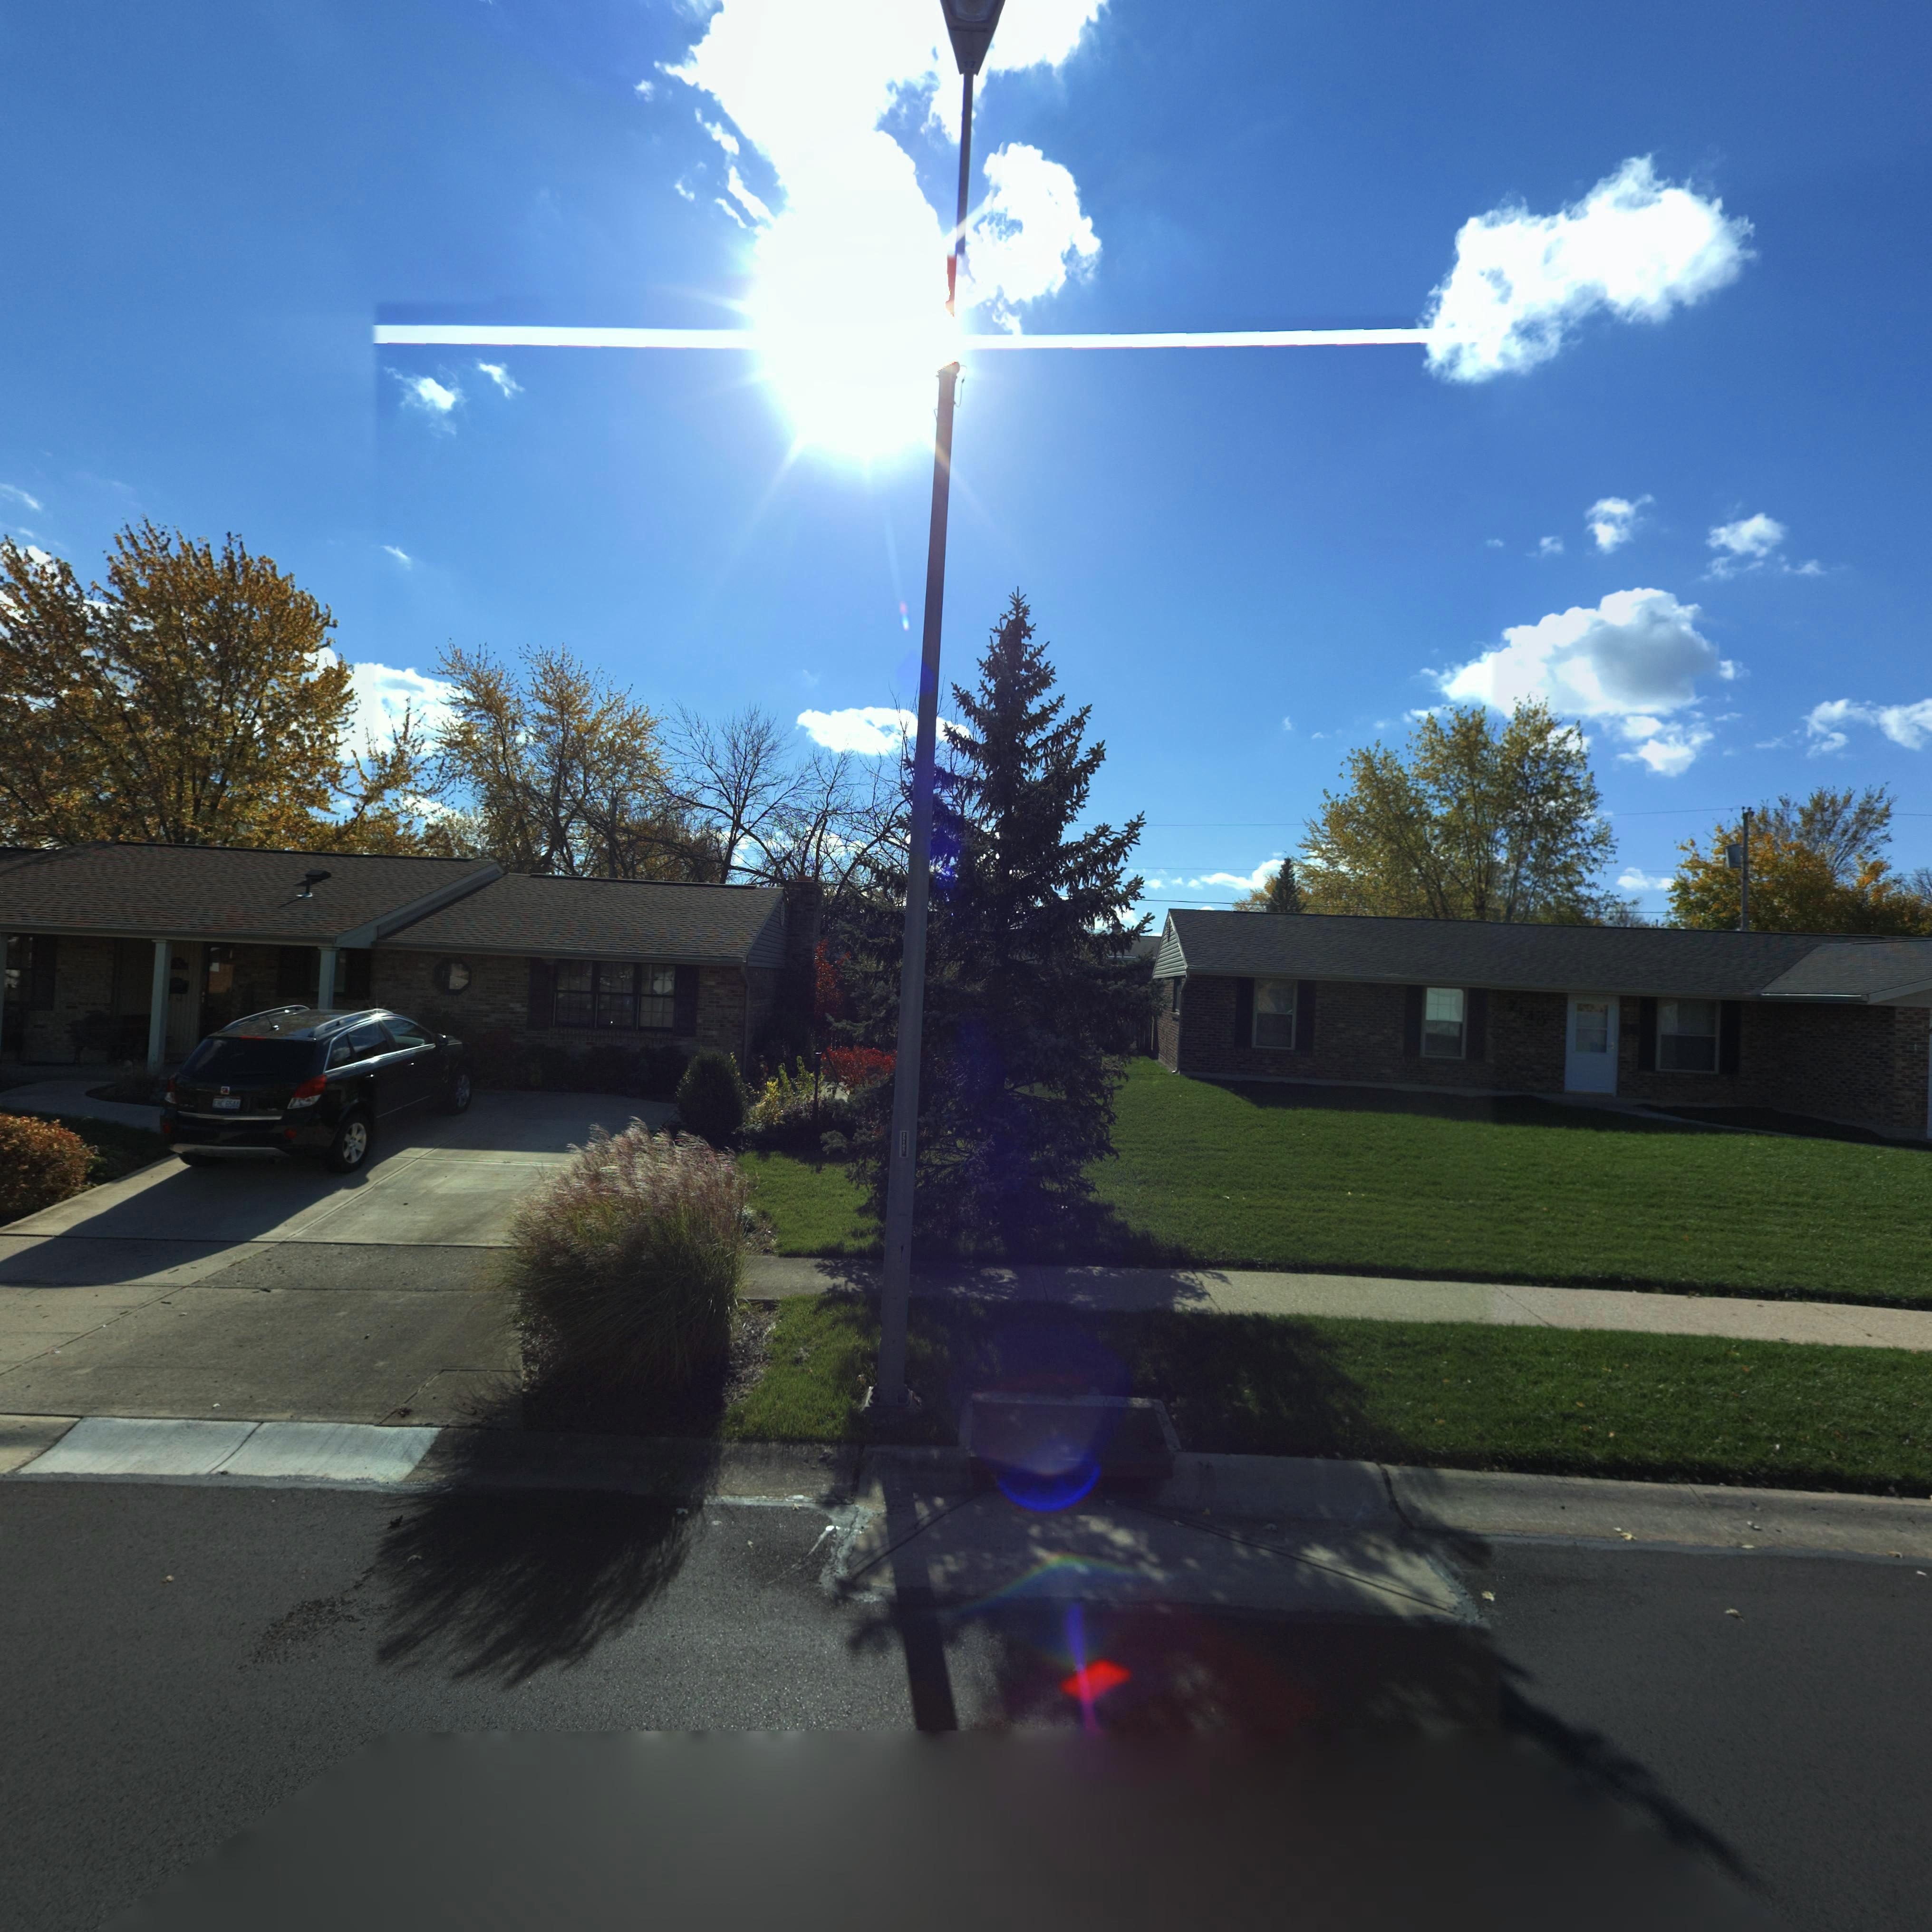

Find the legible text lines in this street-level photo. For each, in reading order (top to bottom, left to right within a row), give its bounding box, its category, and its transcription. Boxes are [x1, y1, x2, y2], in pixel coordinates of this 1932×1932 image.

[1507, 998, 1549, 1029] StreetNumber: 71*0